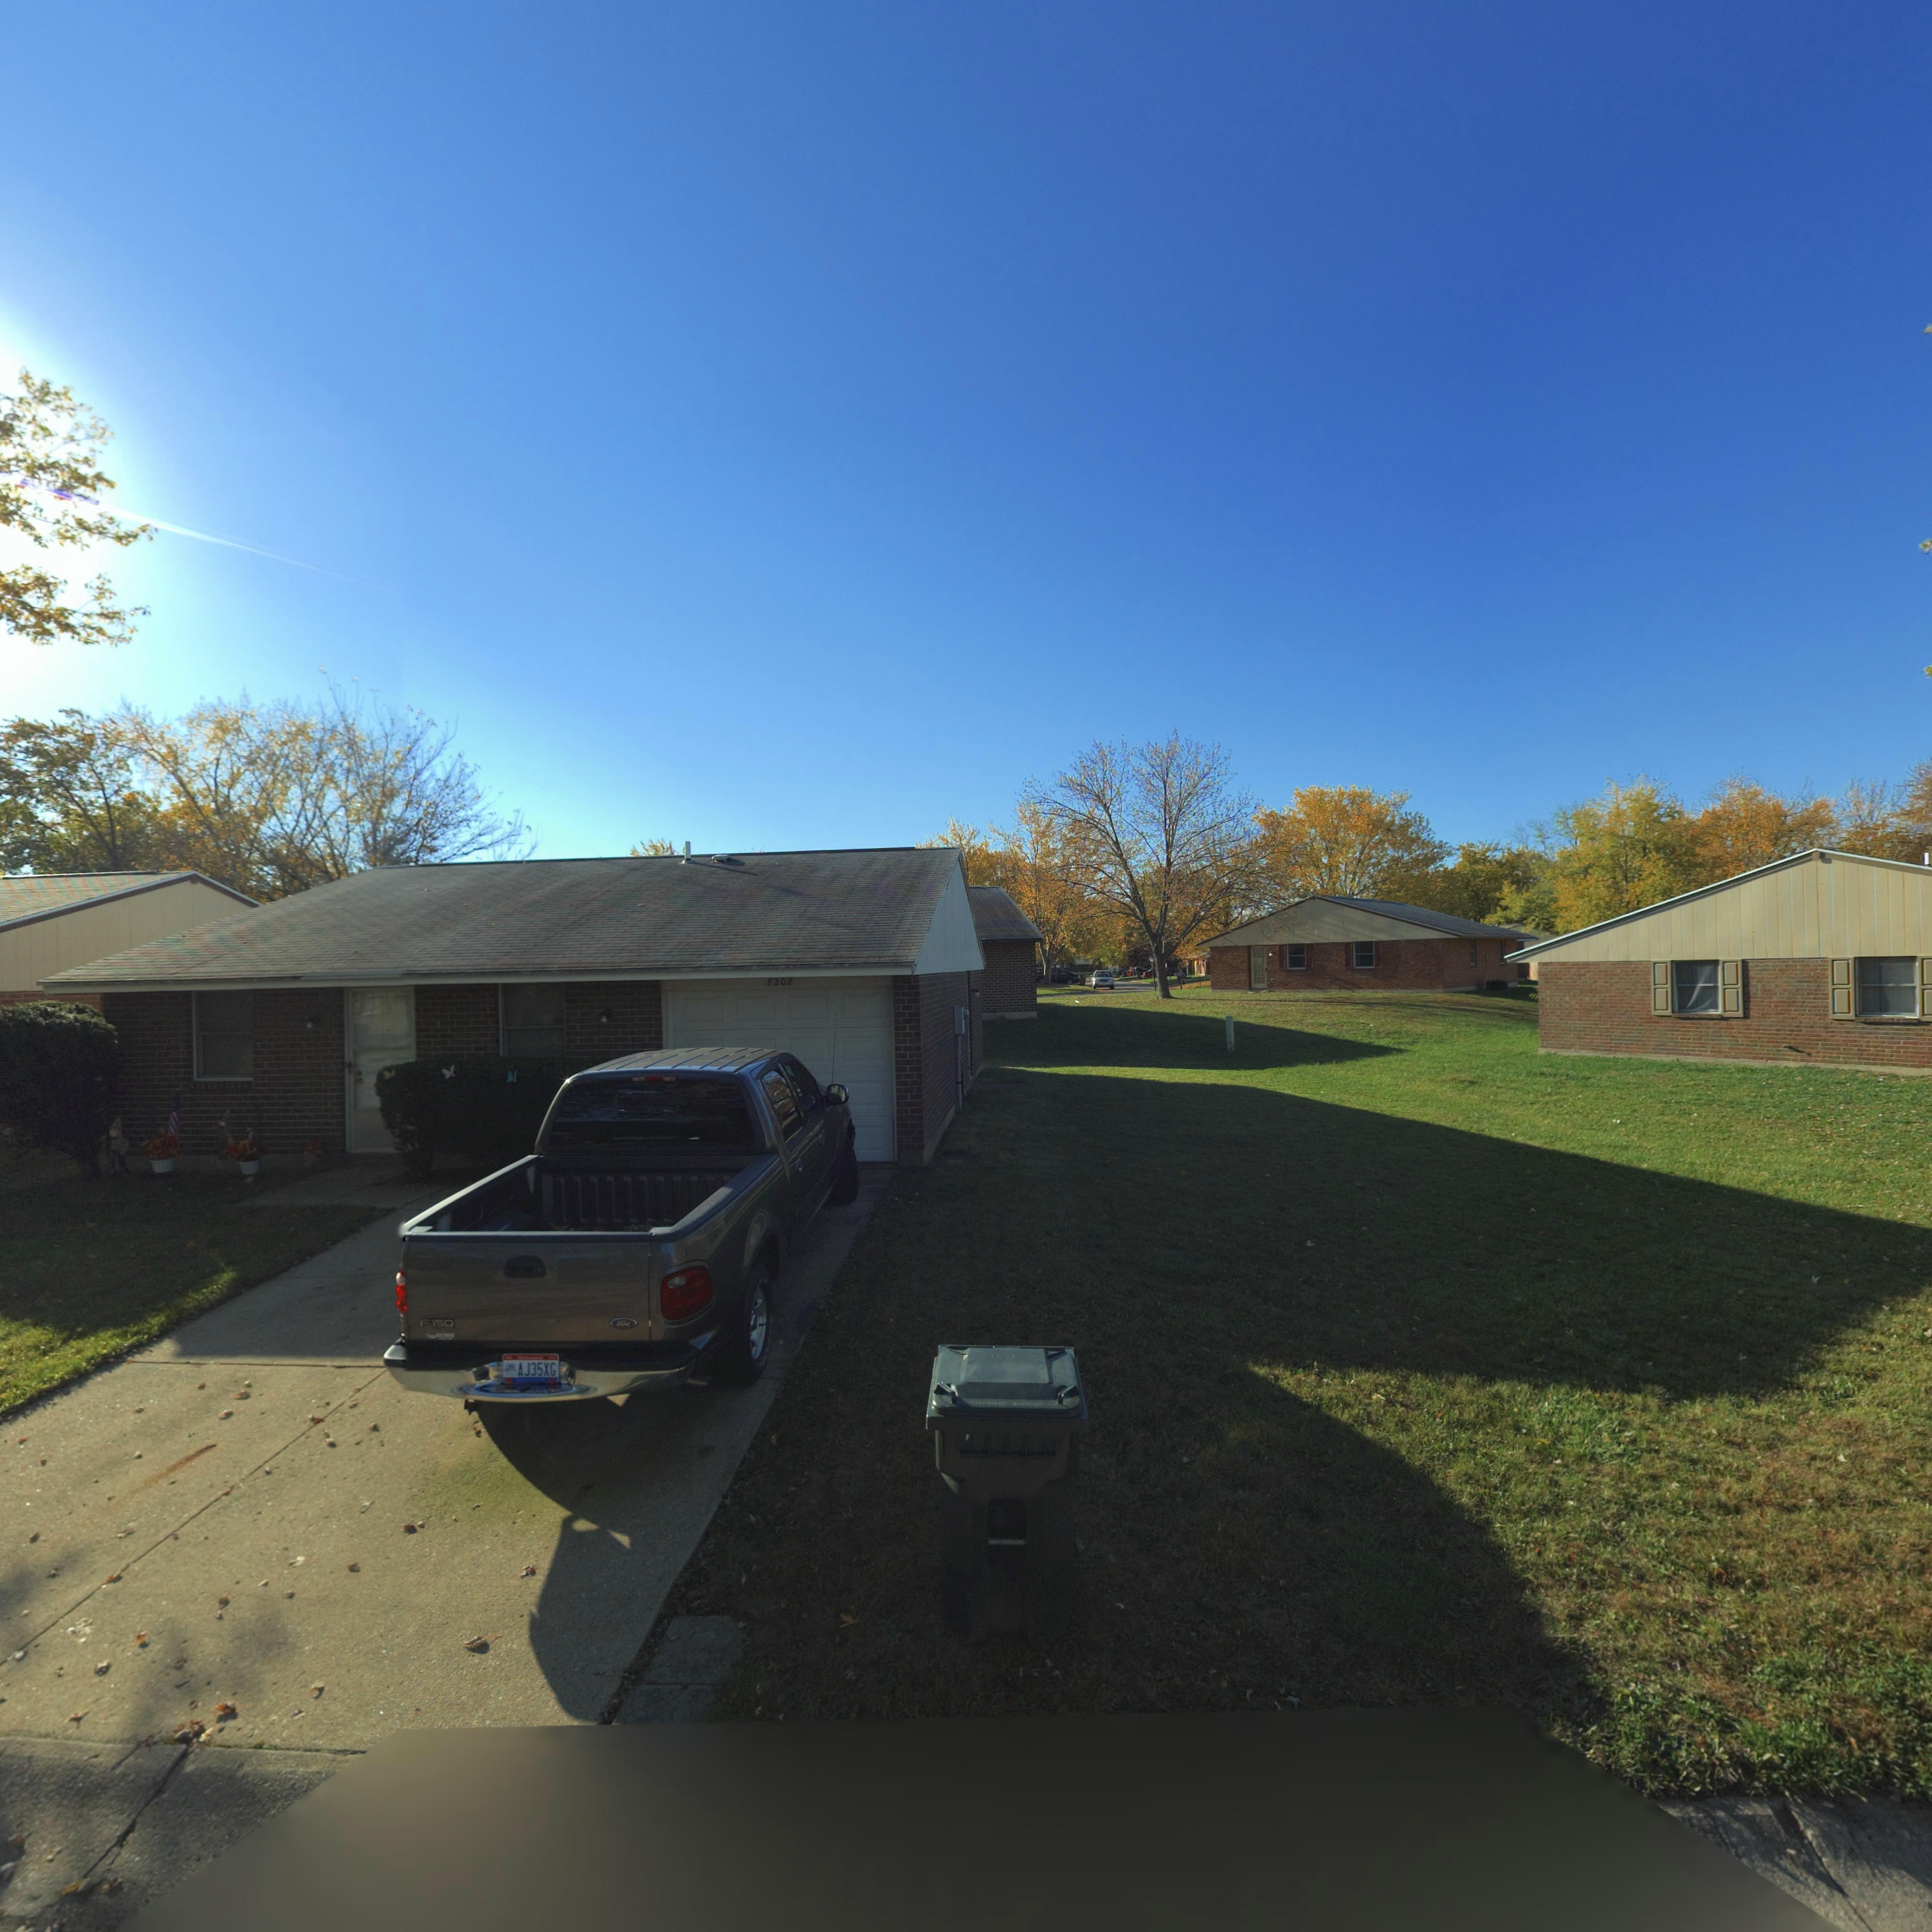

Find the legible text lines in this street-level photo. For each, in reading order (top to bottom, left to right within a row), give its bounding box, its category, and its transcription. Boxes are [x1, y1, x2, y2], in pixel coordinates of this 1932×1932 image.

[767, 977, 793, 987] StreetNumber: 8208